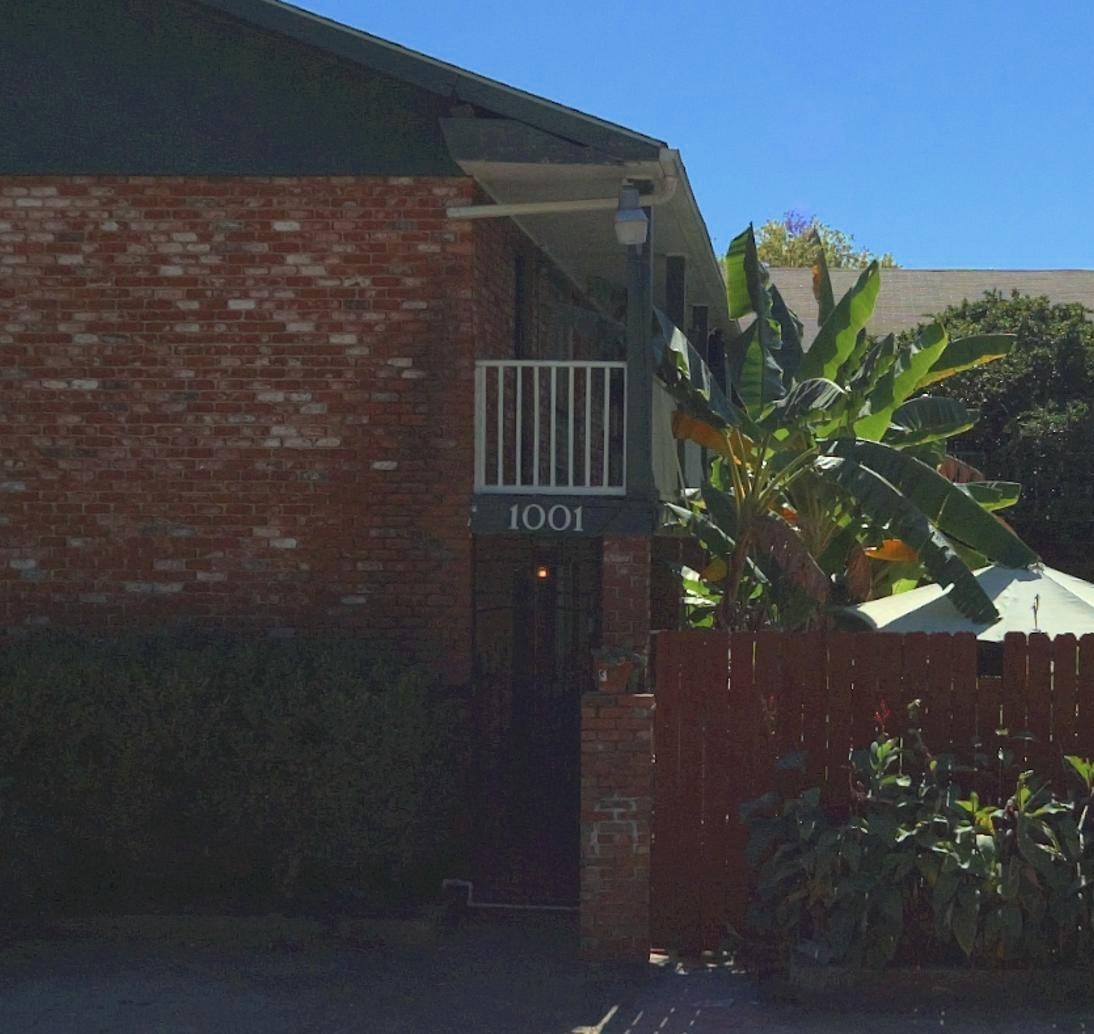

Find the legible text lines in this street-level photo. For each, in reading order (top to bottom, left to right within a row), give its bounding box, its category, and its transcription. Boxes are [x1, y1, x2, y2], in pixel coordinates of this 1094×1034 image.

[507, 502, 584, 533] StreetNumber: 1001